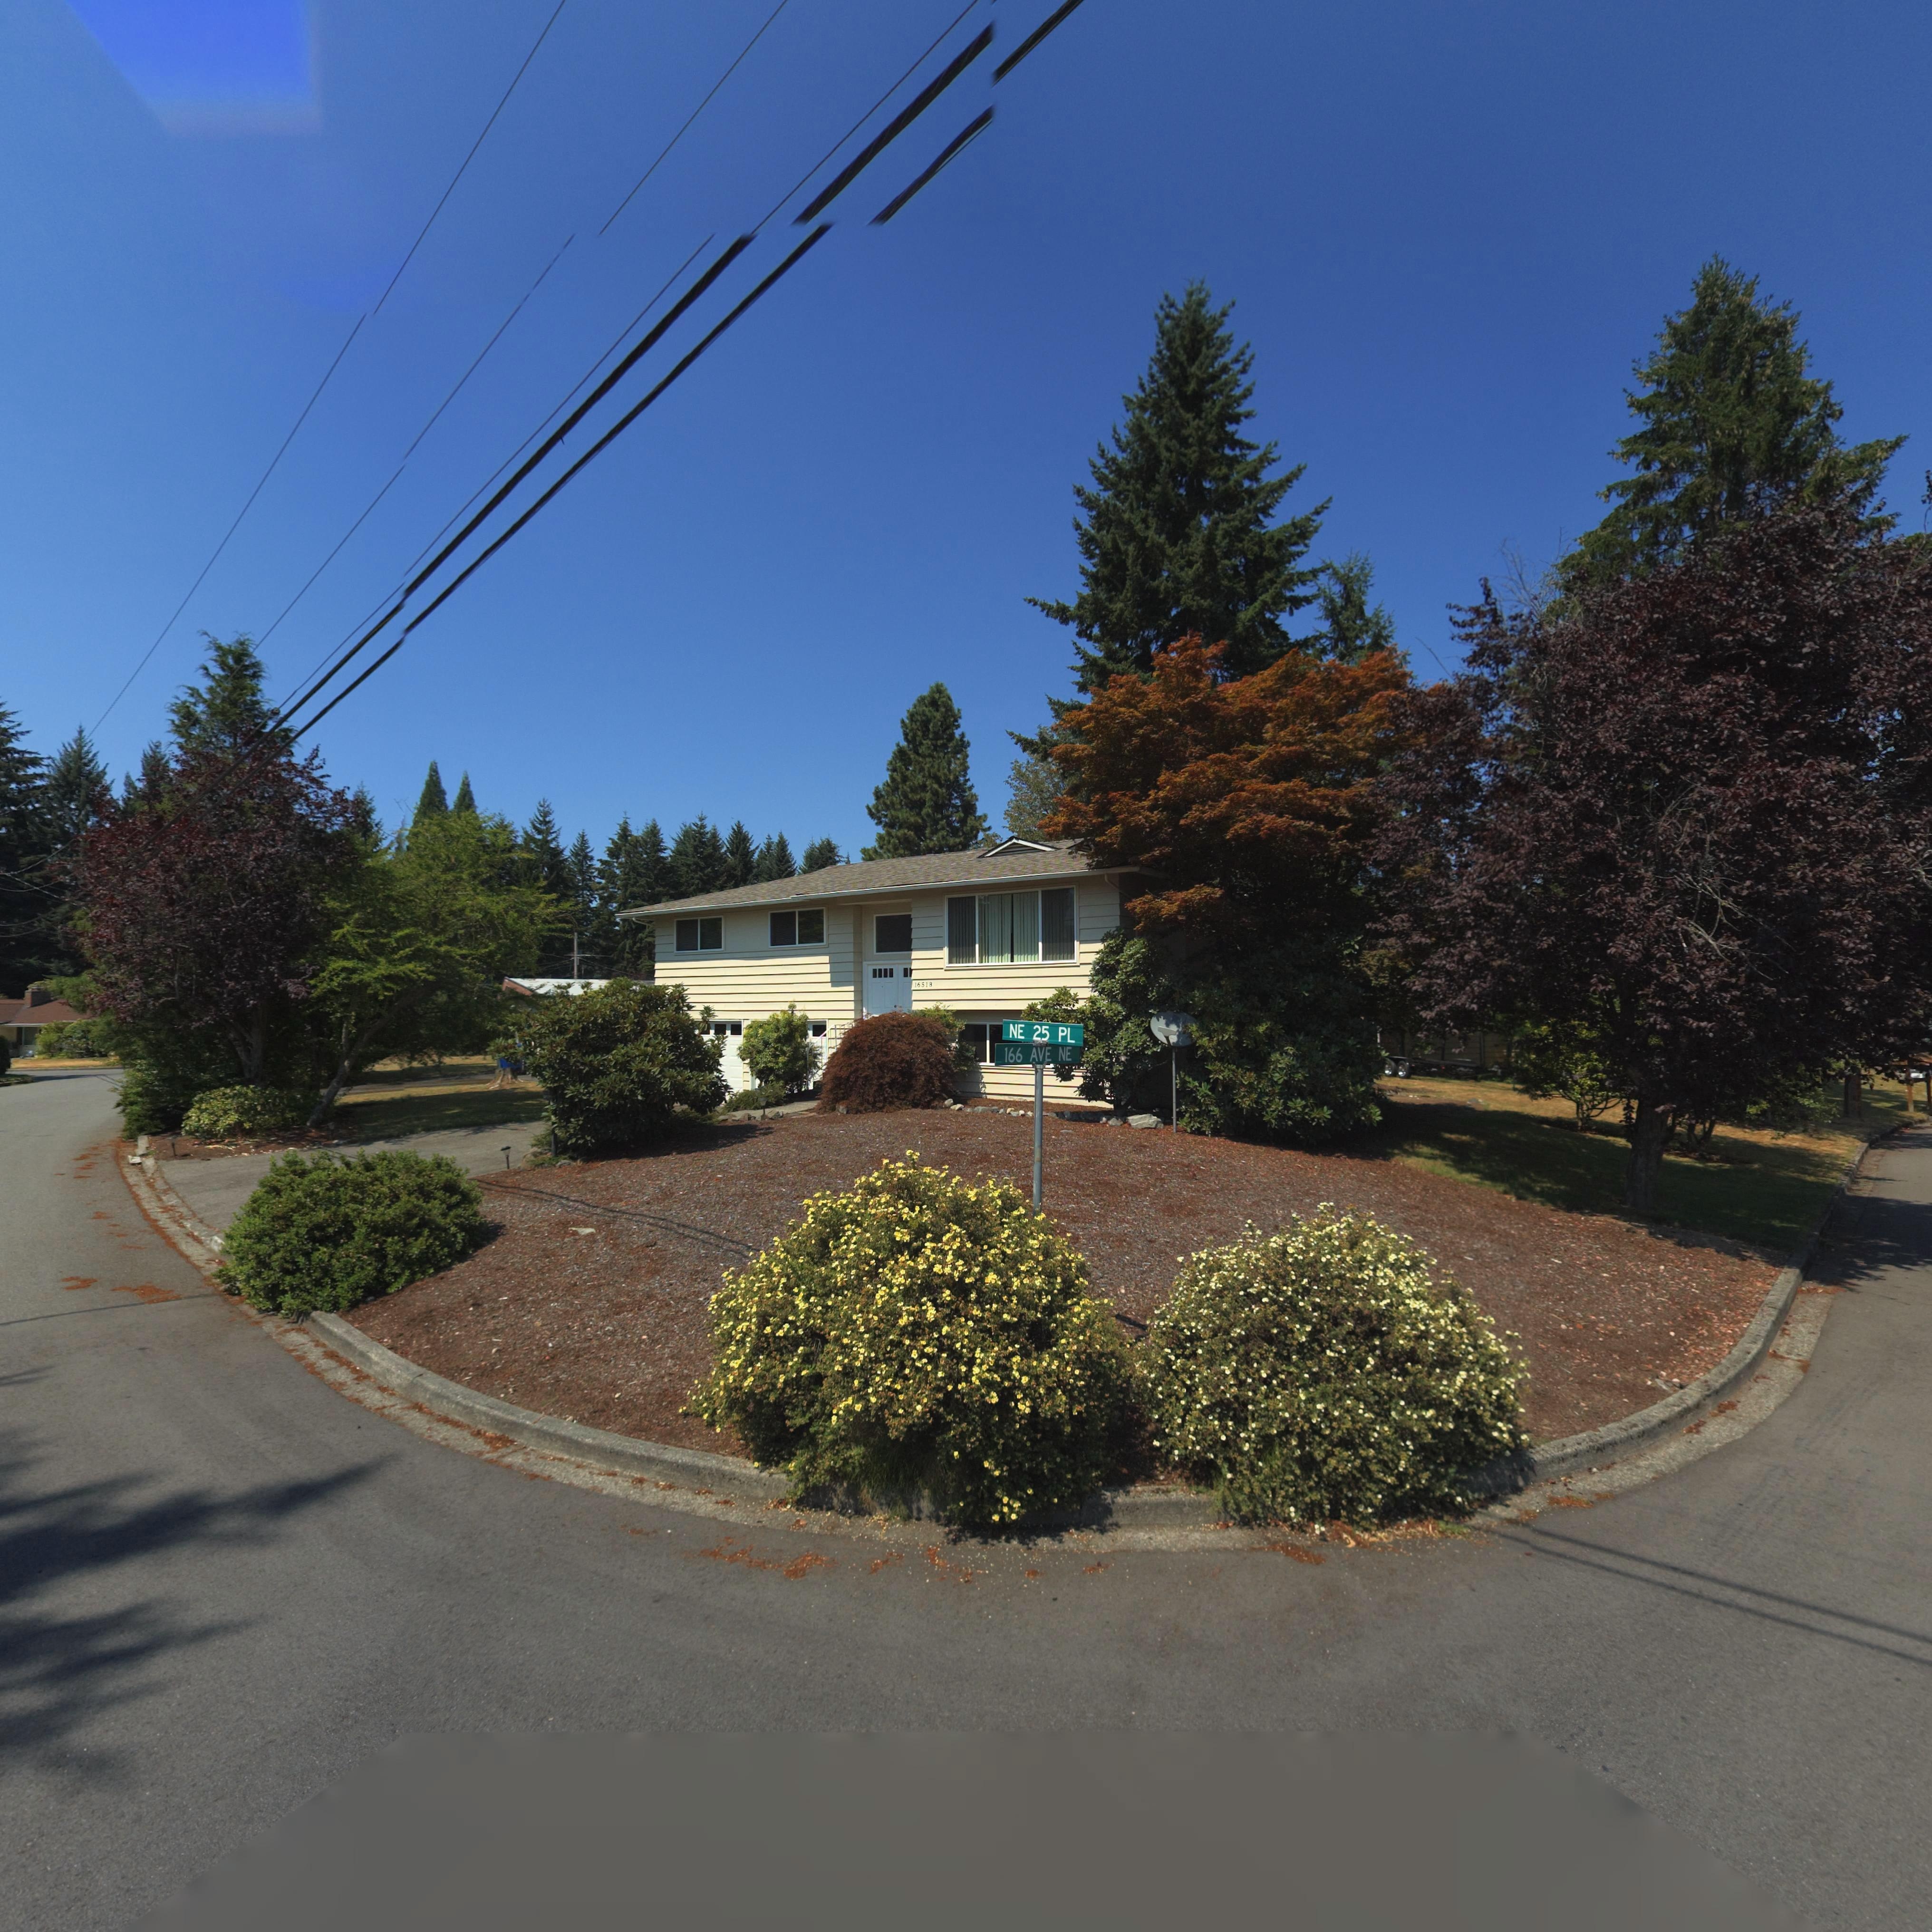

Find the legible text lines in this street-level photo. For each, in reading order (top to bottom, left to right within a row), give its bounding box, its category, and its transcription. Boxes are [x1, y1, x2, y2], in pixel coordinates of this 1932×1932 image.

[914, 981, 932, 987] StreetNumber: 16518
[1009, 1023, 1075, 1043] StreetNumber: NE 25 PL
[1004, 1046, 1073, 1063] StreetName: 166 AVE NE